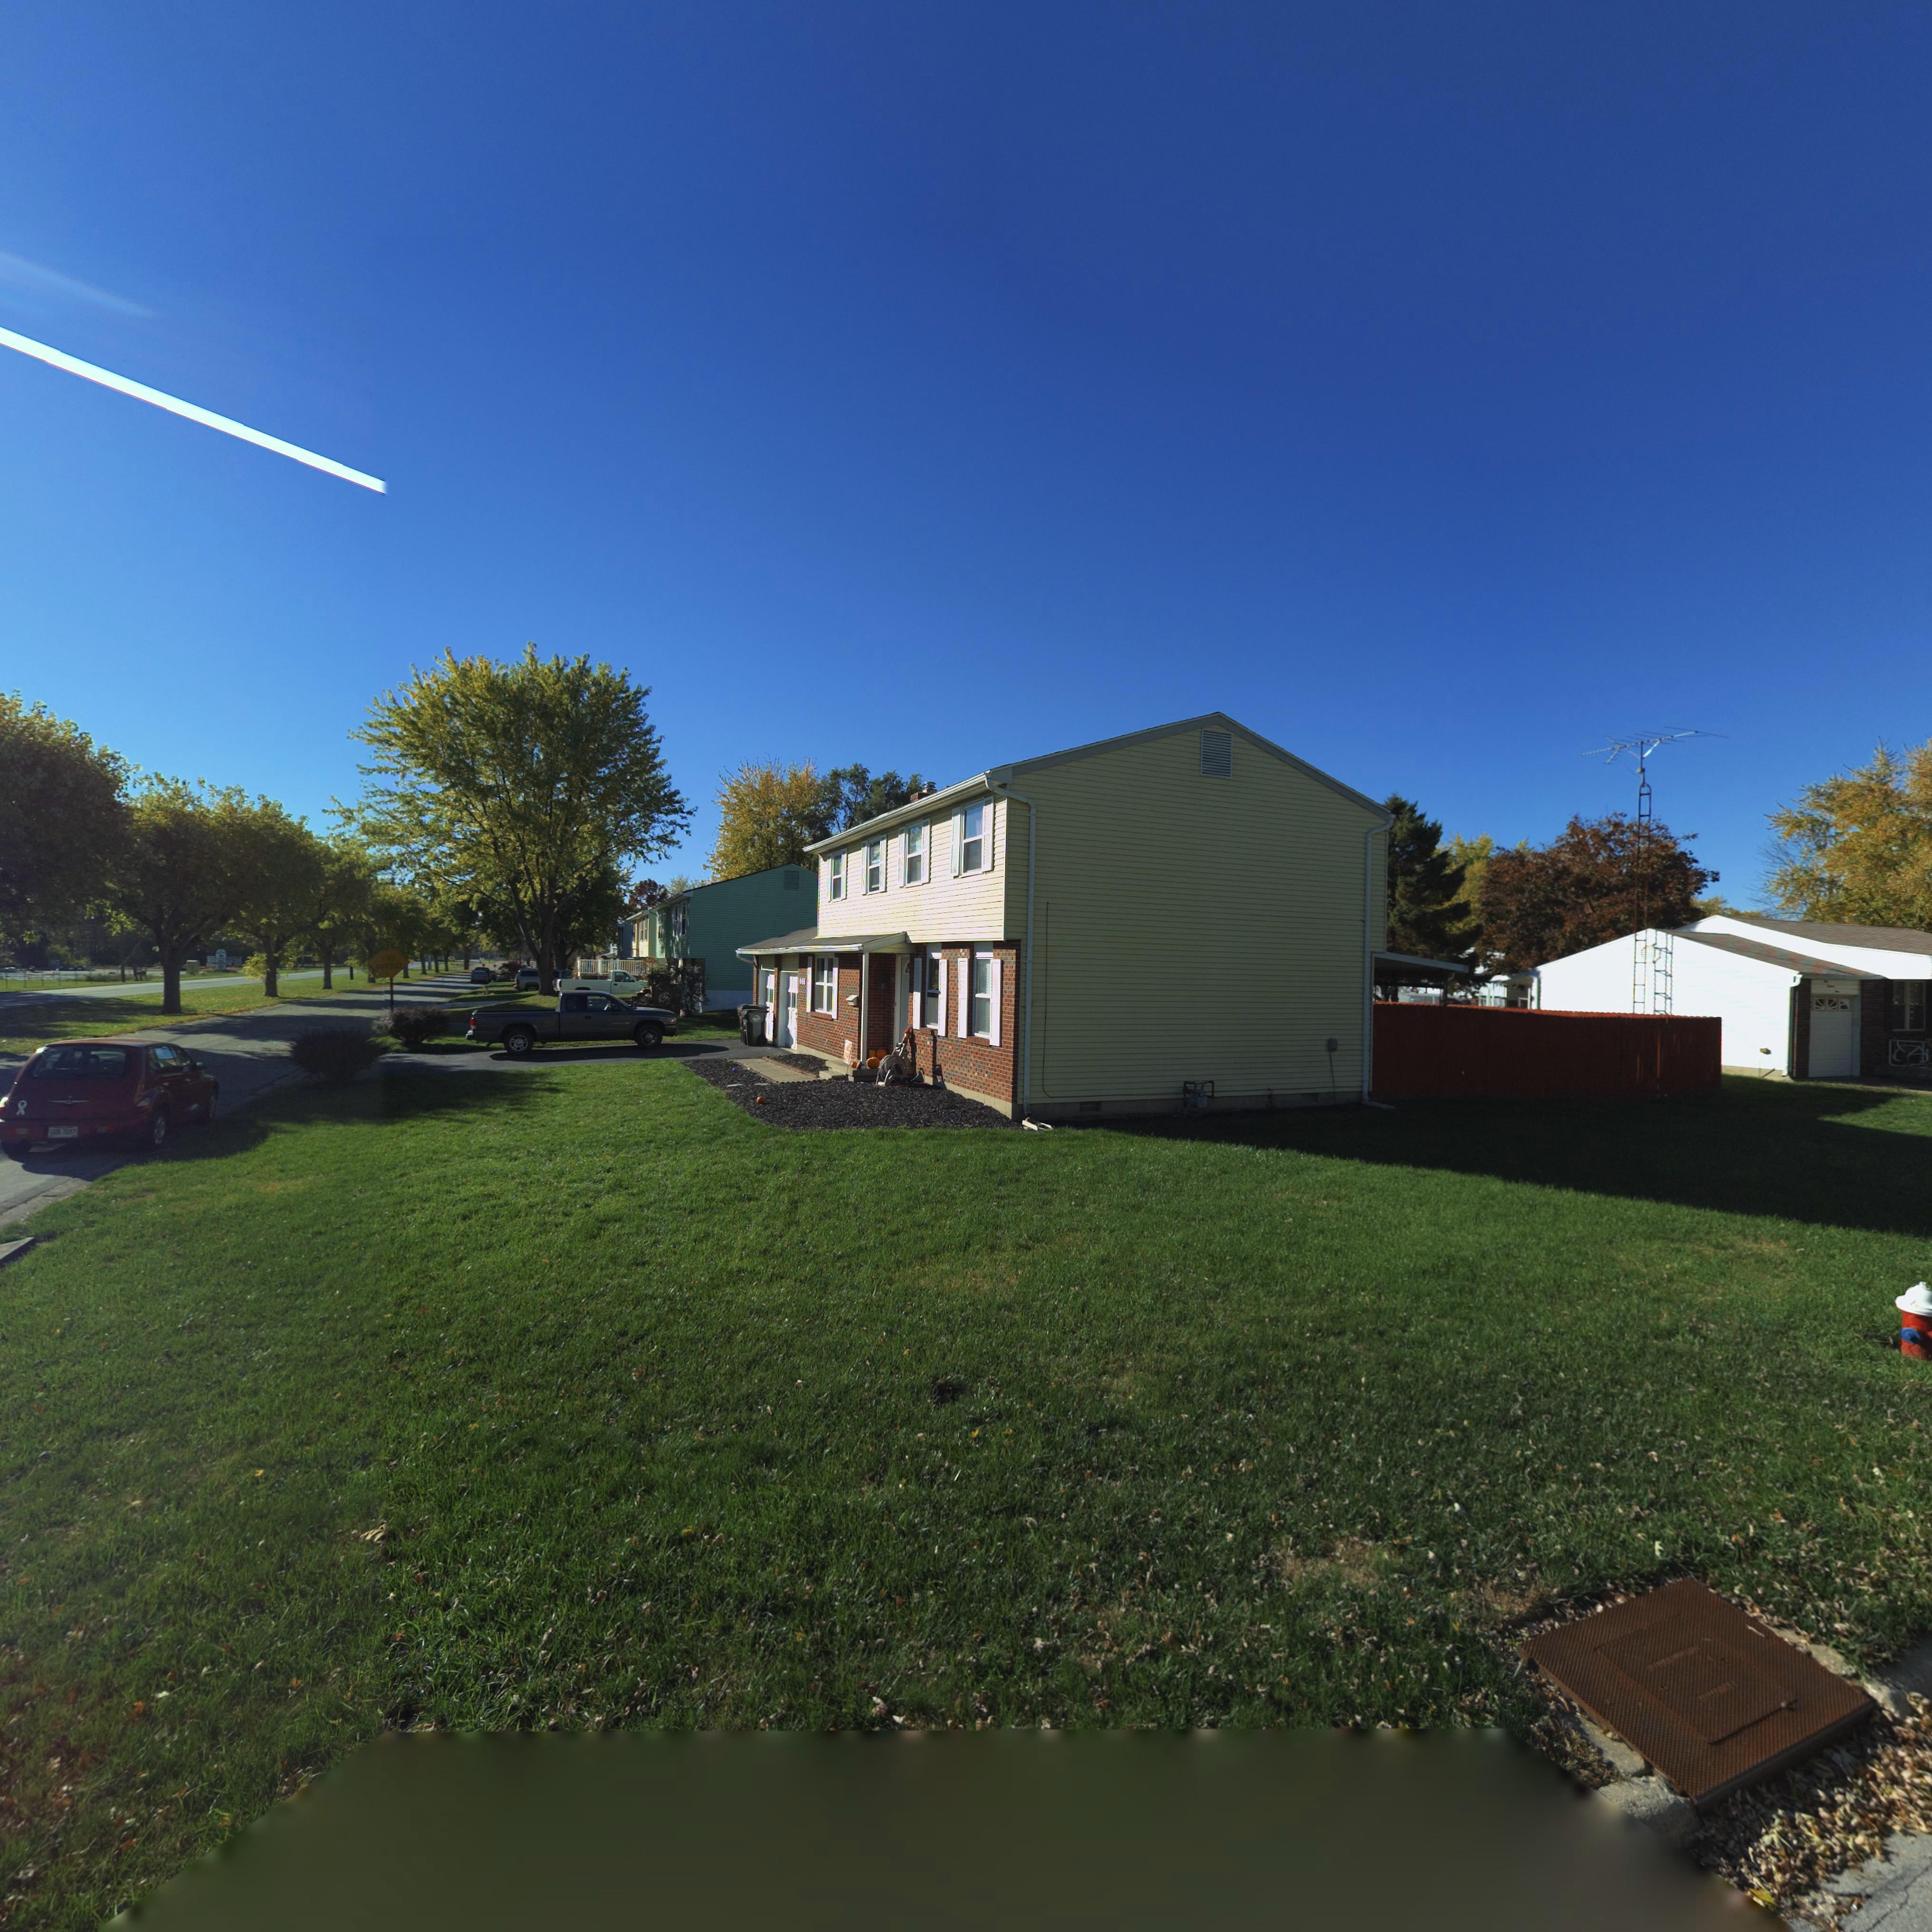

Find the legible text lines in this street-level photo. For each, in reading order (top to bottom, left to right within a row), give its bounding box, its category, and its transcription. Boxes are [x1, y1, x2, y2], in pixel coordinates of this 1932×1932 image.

[799, 977, 806, 985] StreetNumber: 6**